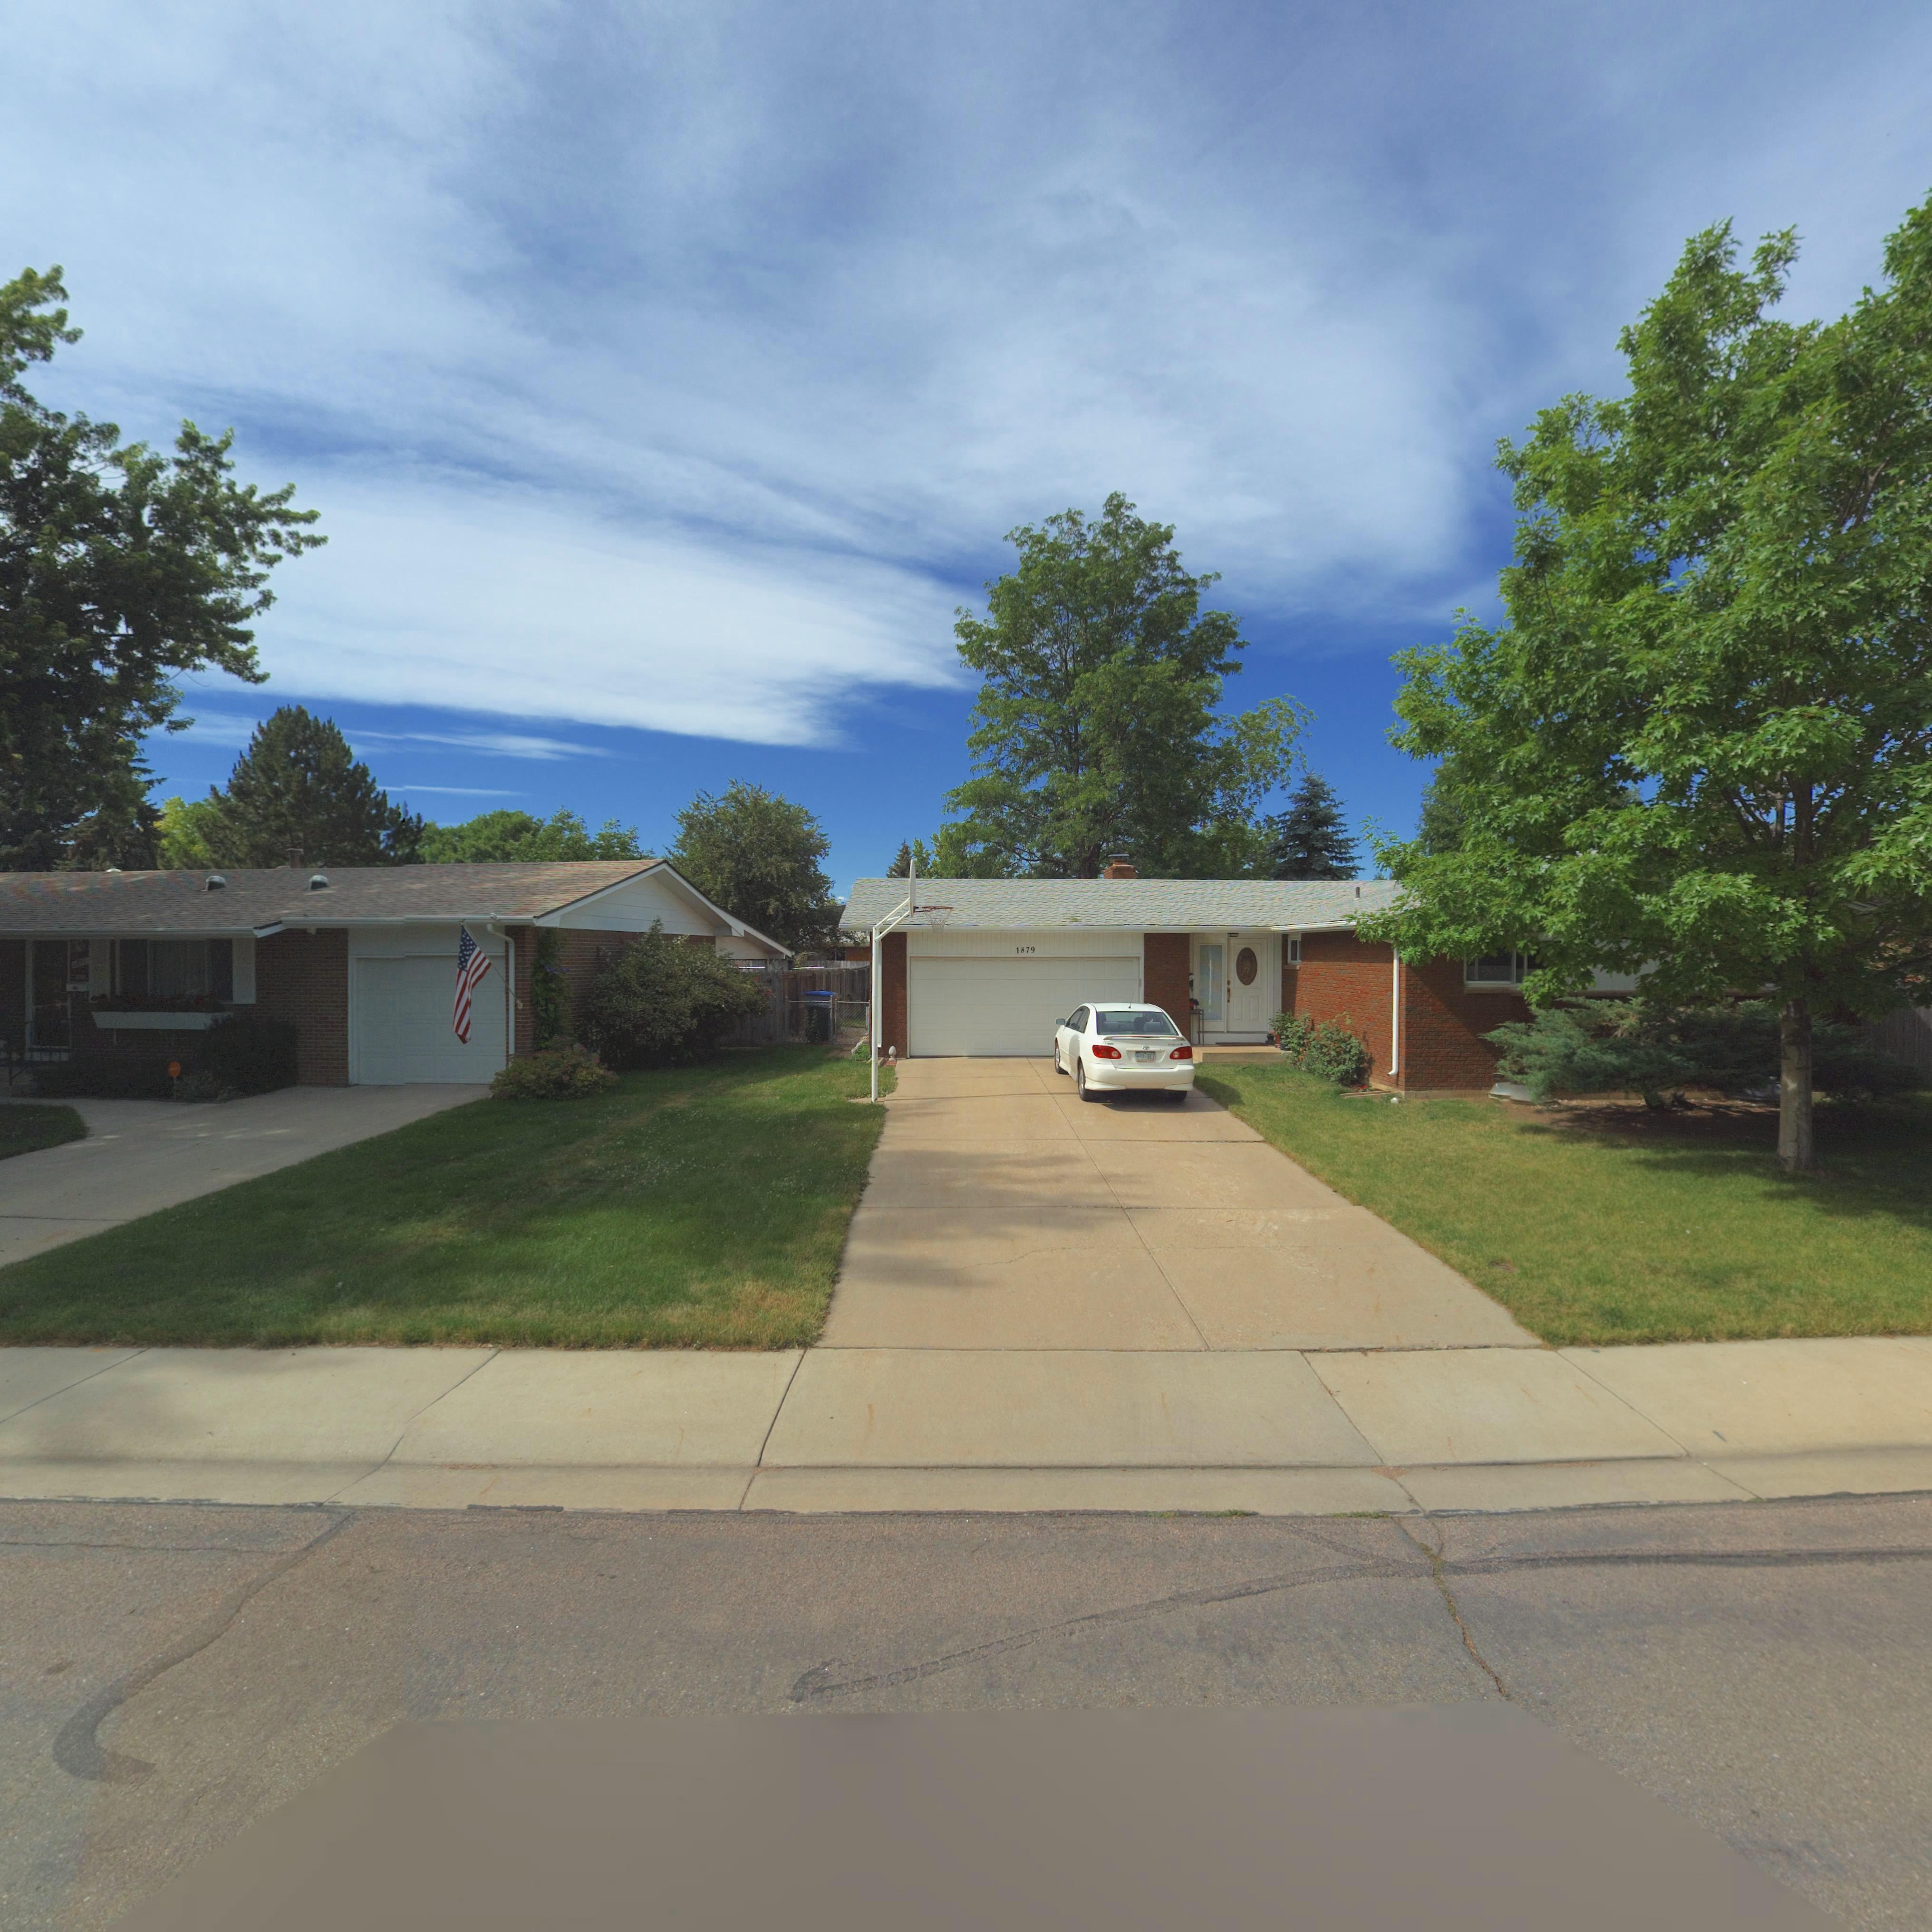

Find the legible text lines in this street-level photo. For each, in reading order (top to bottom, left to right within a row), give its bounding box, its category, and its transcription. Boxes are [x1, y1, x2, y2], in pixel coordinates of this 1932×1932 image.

[1016, 946, 1035, 953] StreetNumber: 1879
[72, 957, 87, 969] StreetNumber: 1**1